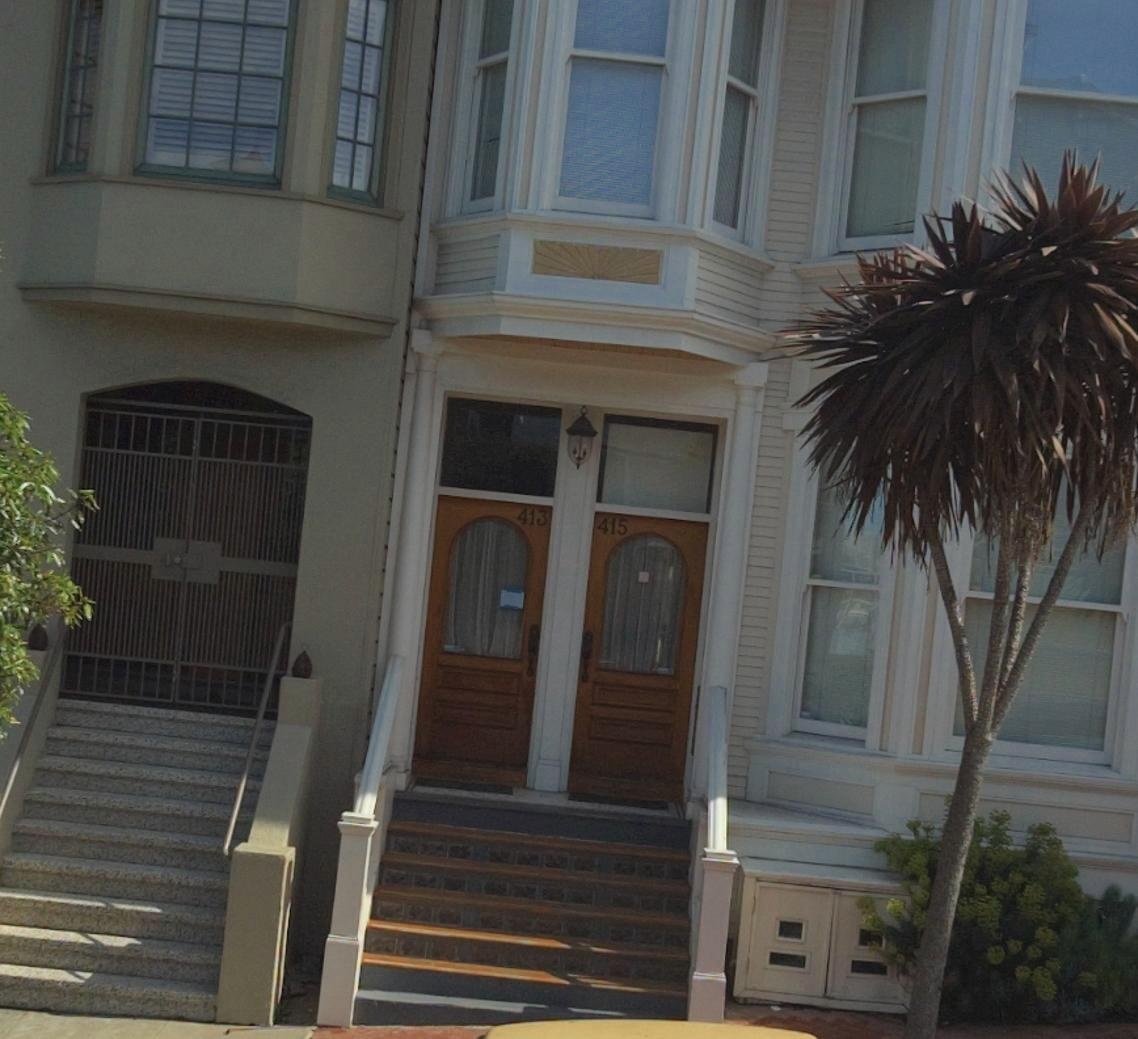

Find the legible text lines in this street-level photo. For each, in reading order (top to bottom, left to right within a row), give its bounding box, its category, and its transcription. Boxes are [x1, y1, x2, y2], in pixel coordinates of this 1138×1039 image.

[515, 504, 551, 530] StreetNumber: 413
[594, 514, 631, 538] StreetNumber: 415